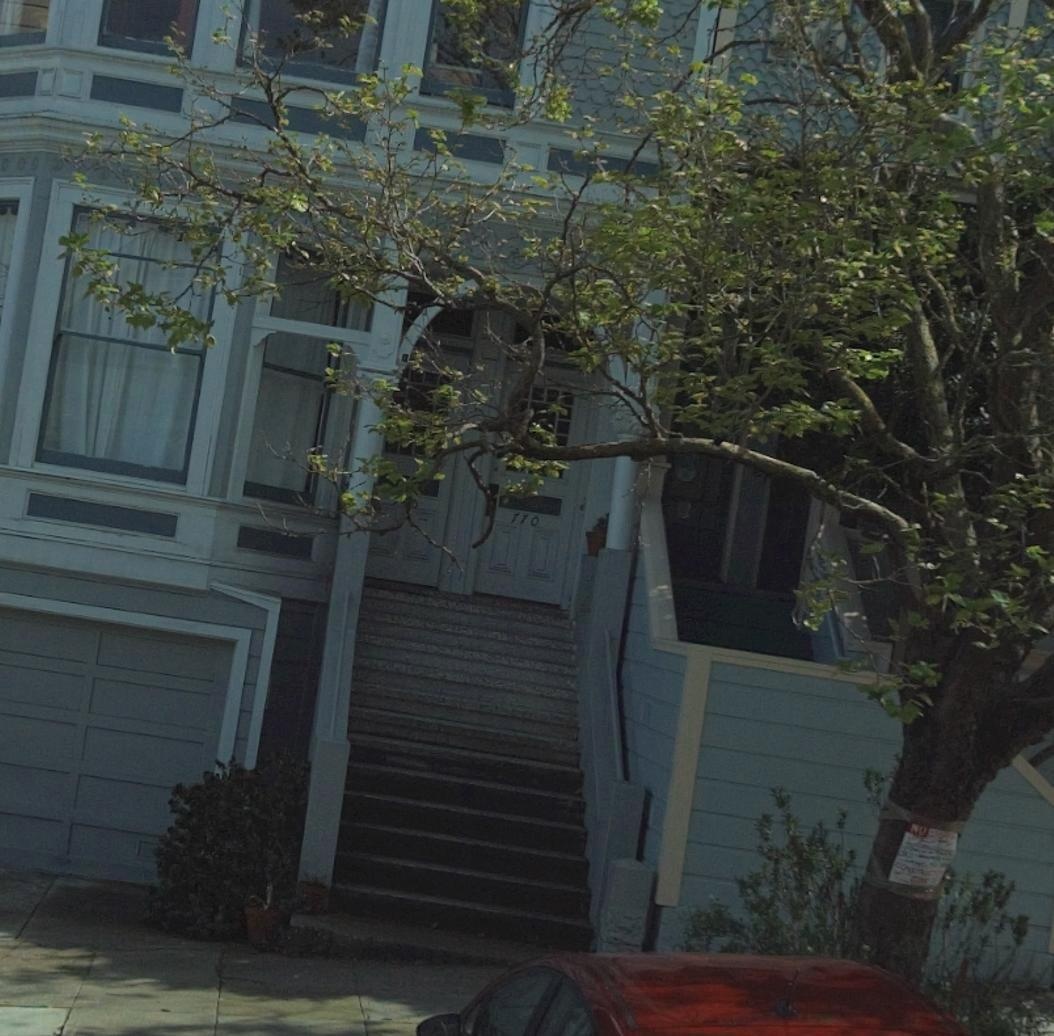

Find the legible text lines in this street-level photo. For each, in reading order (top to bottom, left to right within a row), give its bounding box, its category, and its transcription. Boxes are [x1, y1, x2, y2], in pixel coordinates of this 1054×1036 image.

[507, 510, 542, 530] StreetNumber: *70